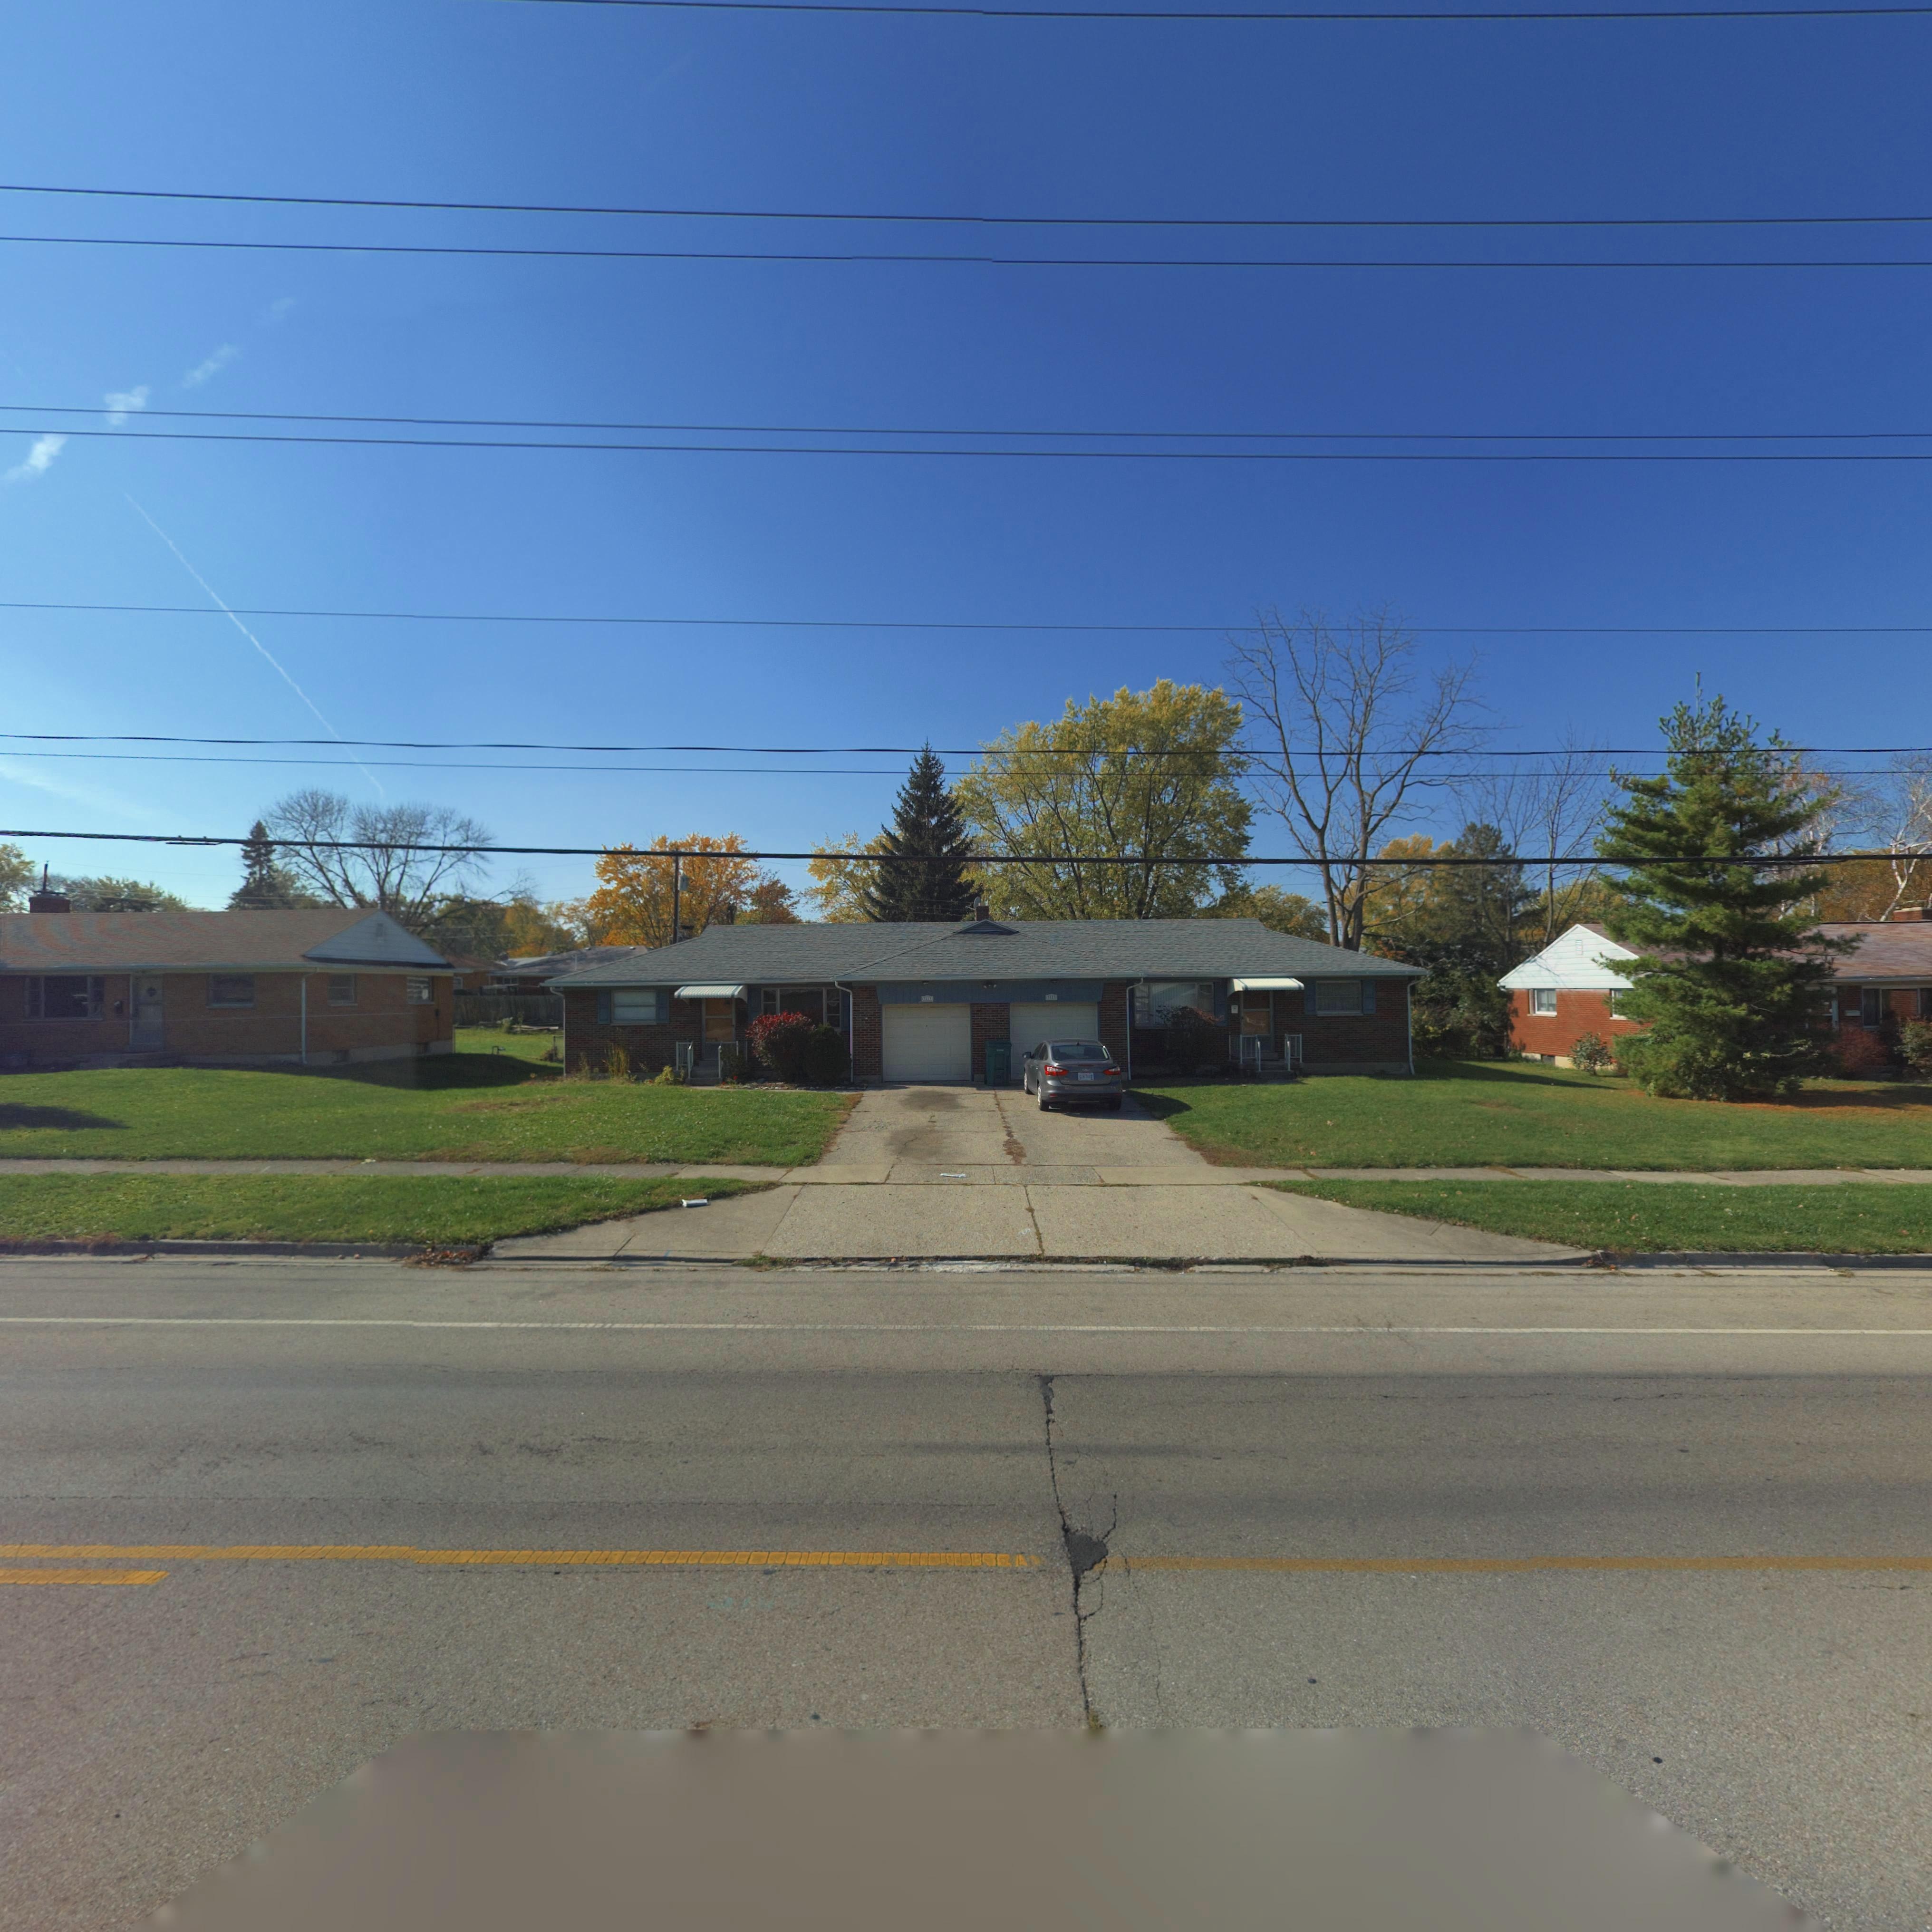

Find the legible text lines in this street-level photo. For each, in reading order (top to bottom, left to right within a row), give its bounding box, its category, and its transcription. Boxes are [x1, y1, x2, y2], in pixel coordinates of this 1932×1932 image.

[923, 997, 932, 1001] StreetNumber: 3813
[1047, 995, 1056, 1000] StreetNumber: 3809